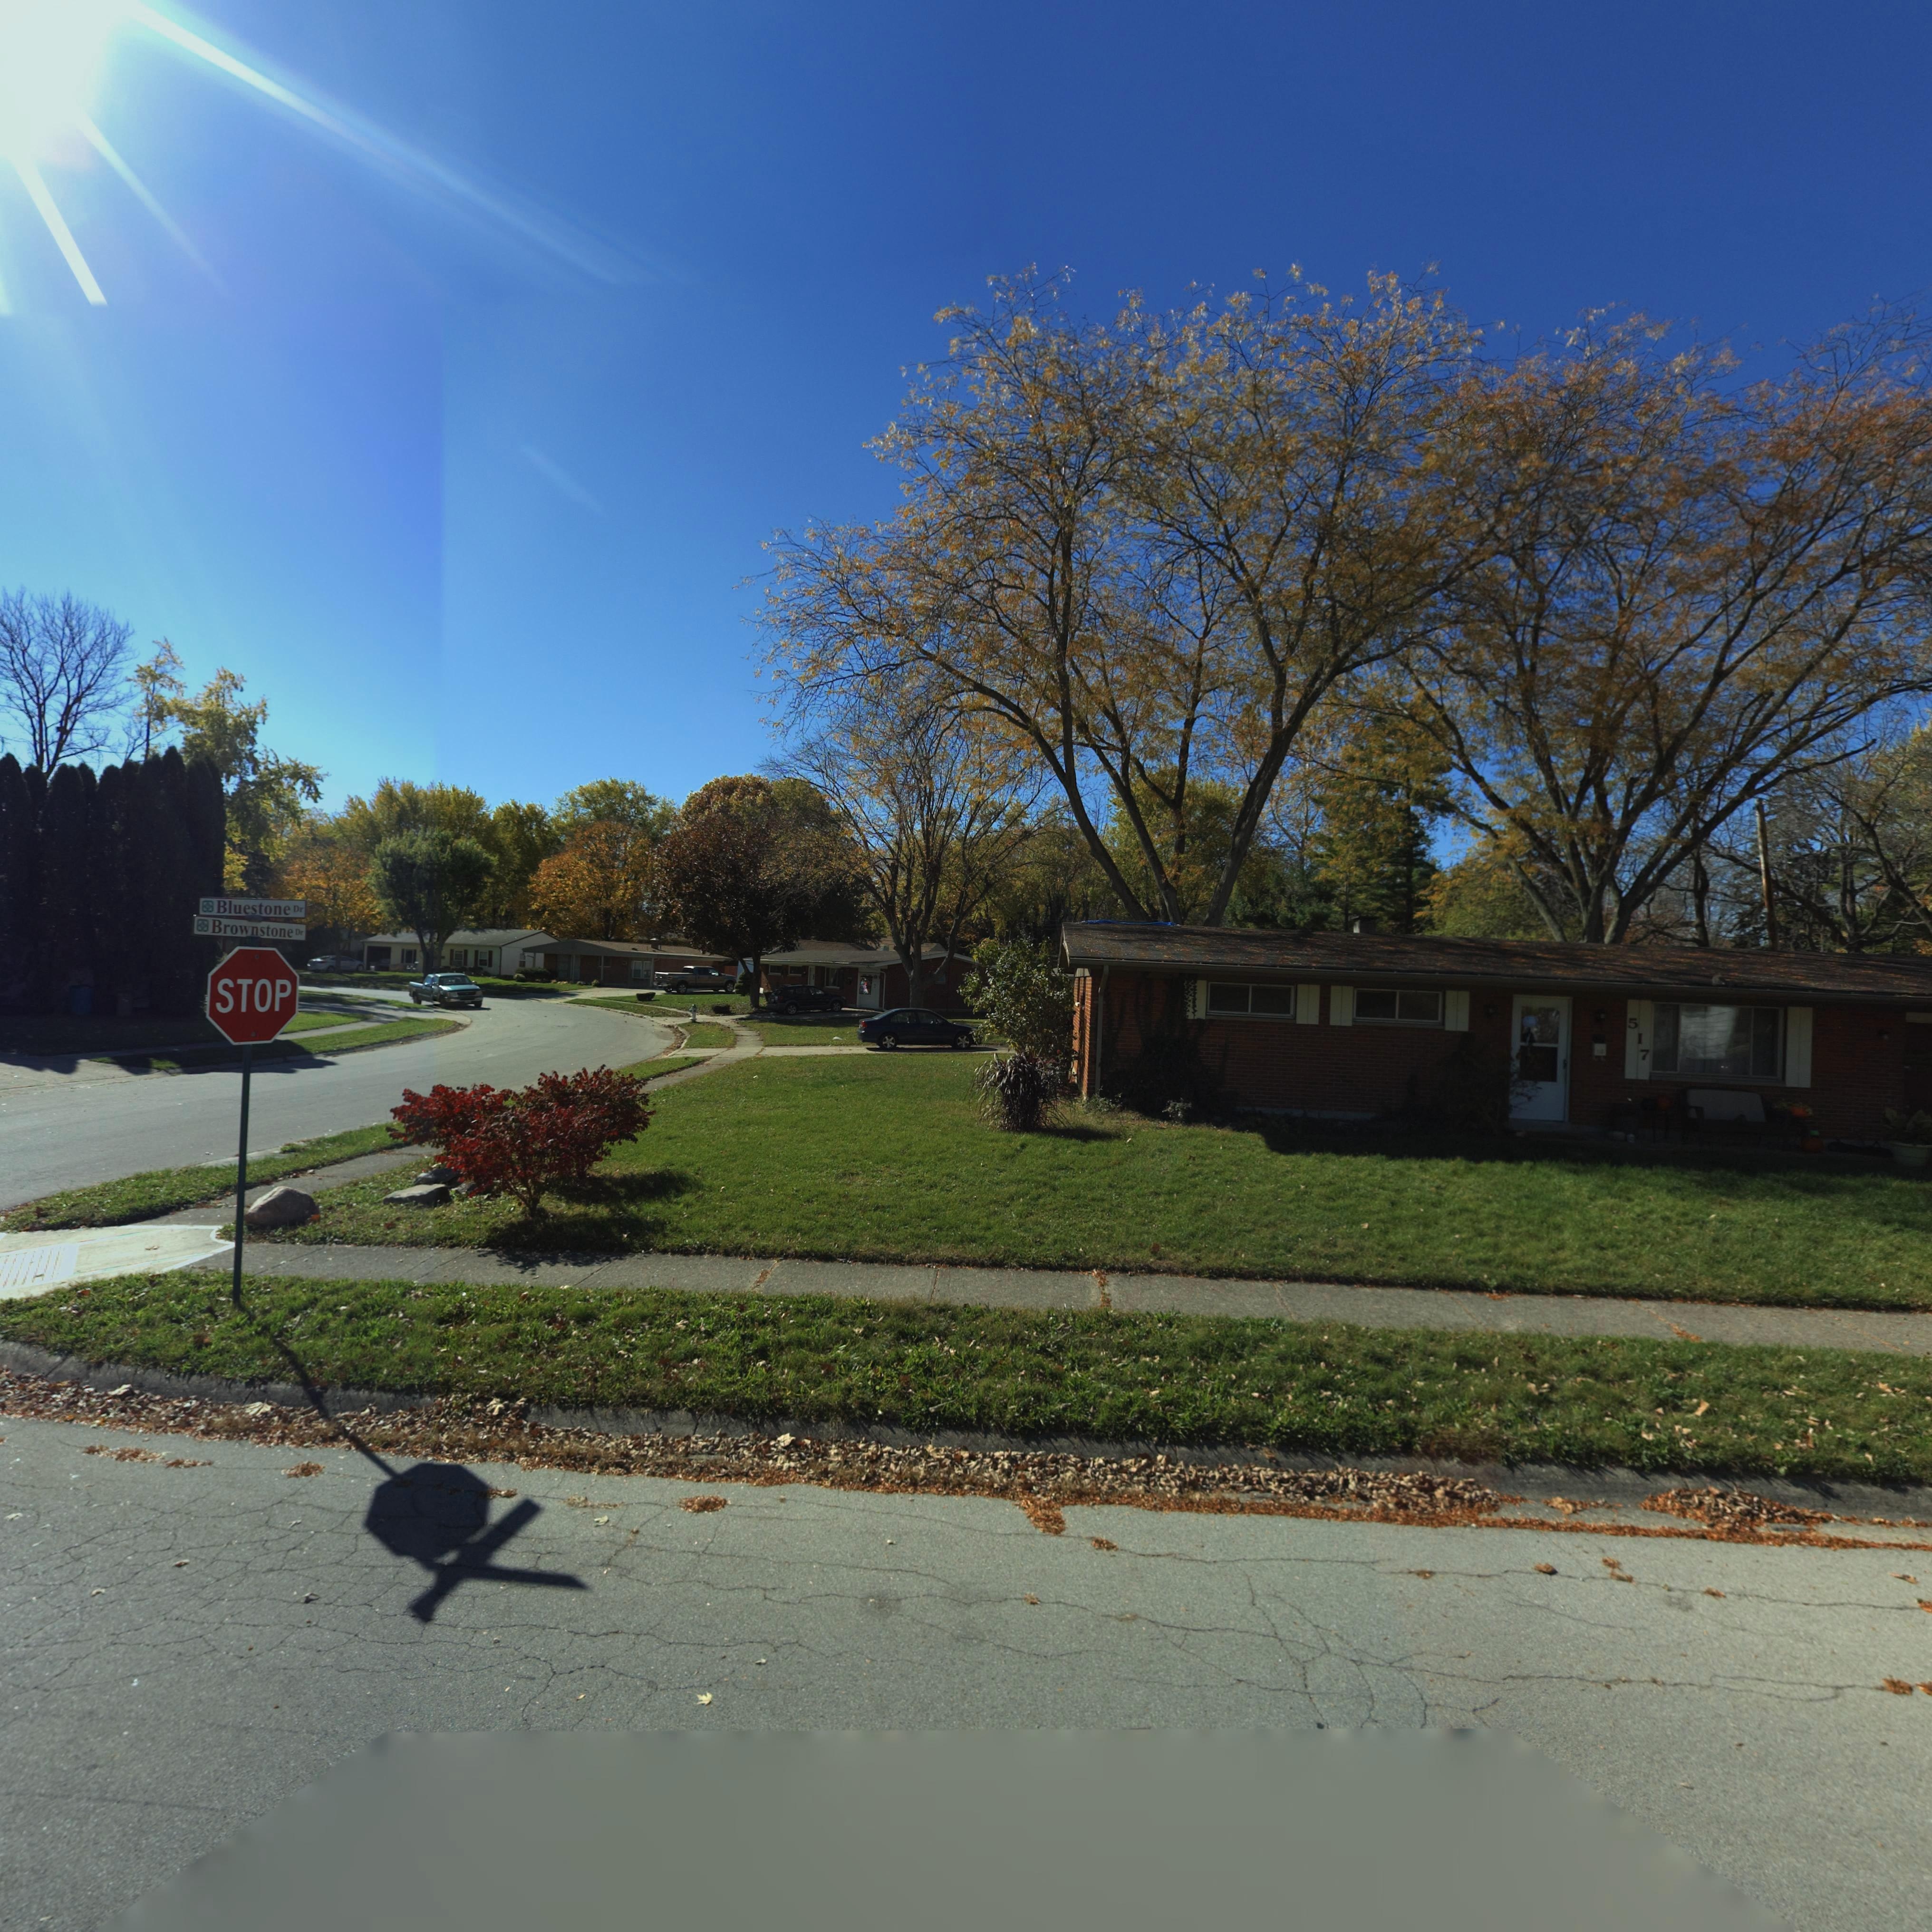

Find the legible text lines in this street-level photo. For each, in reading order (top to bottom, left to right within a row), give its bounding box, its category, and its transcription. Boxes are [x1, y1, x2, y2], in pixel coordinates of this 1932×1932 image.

[1627, 1016, 1651, 1062] StreetNumber: 517